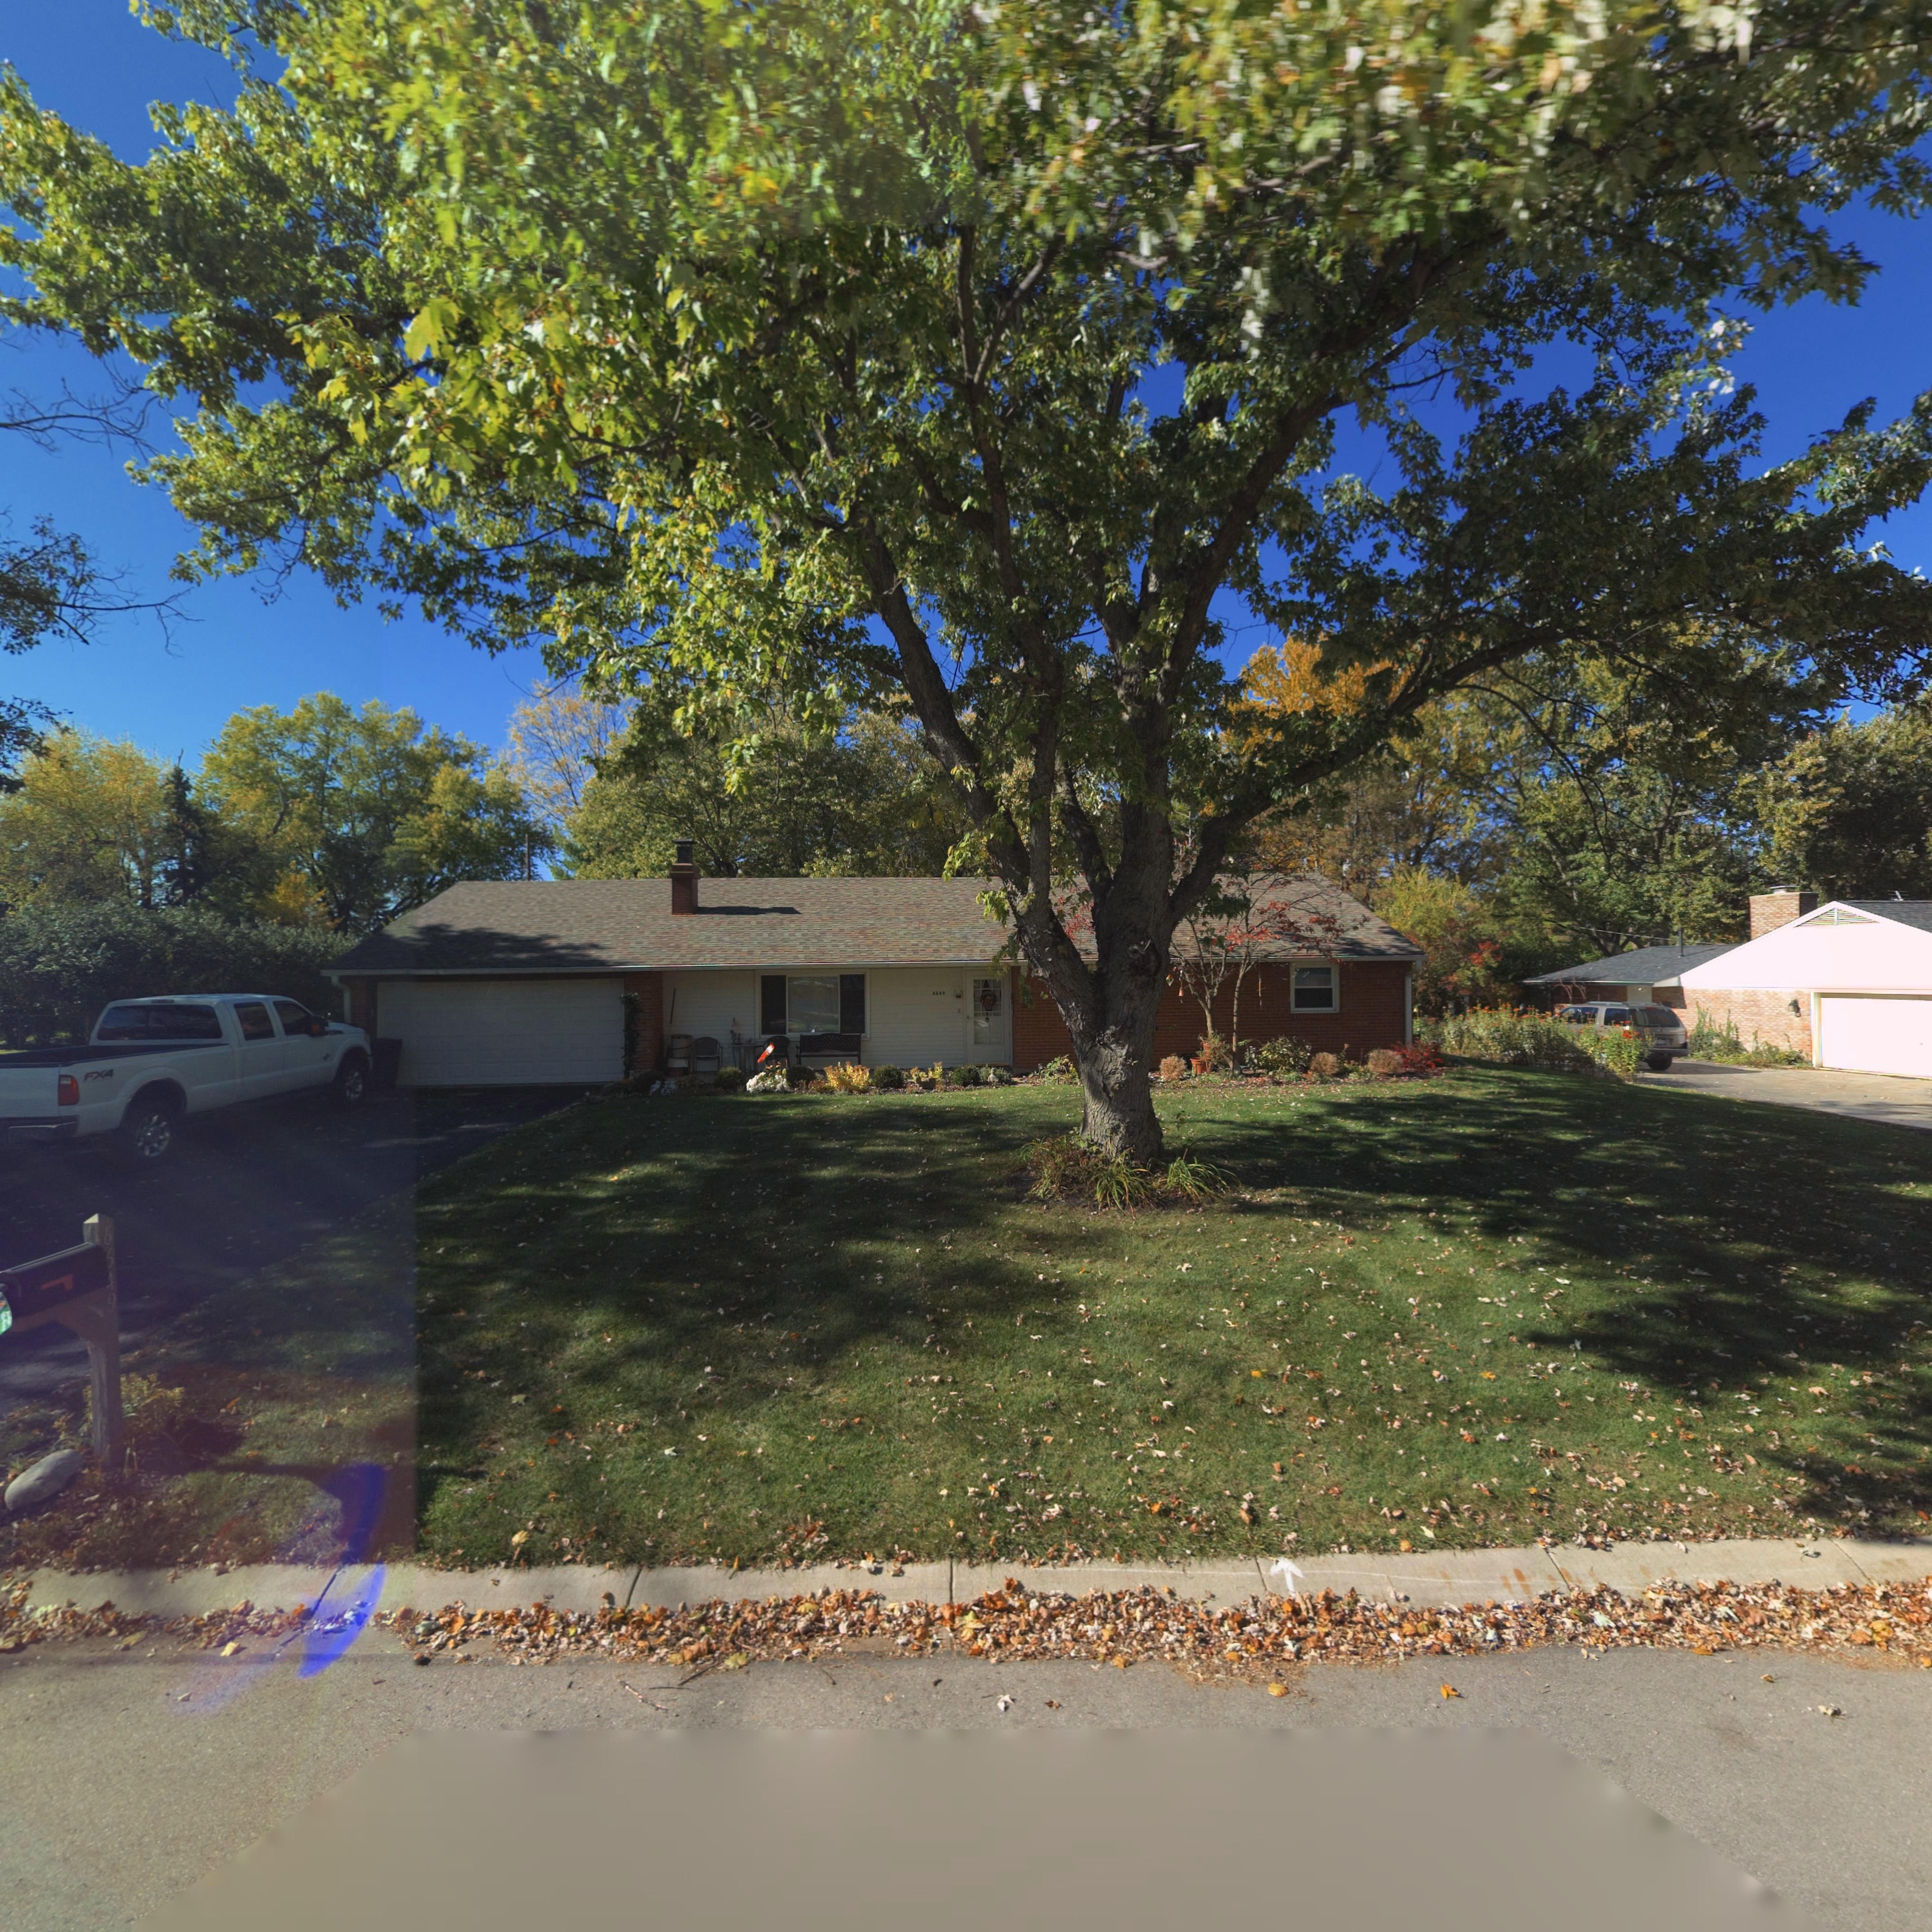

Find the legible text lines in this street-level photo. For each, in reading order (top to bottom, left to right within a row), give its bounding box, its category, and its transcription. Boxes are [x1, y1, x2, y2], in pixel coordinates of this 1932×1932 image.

[932, 990, 946, 996] StreetNumber: 6649
[83, 1068, 115, 1082] None: FX4
[103, 1223, 117, 1316] StreetNumber: 6*49